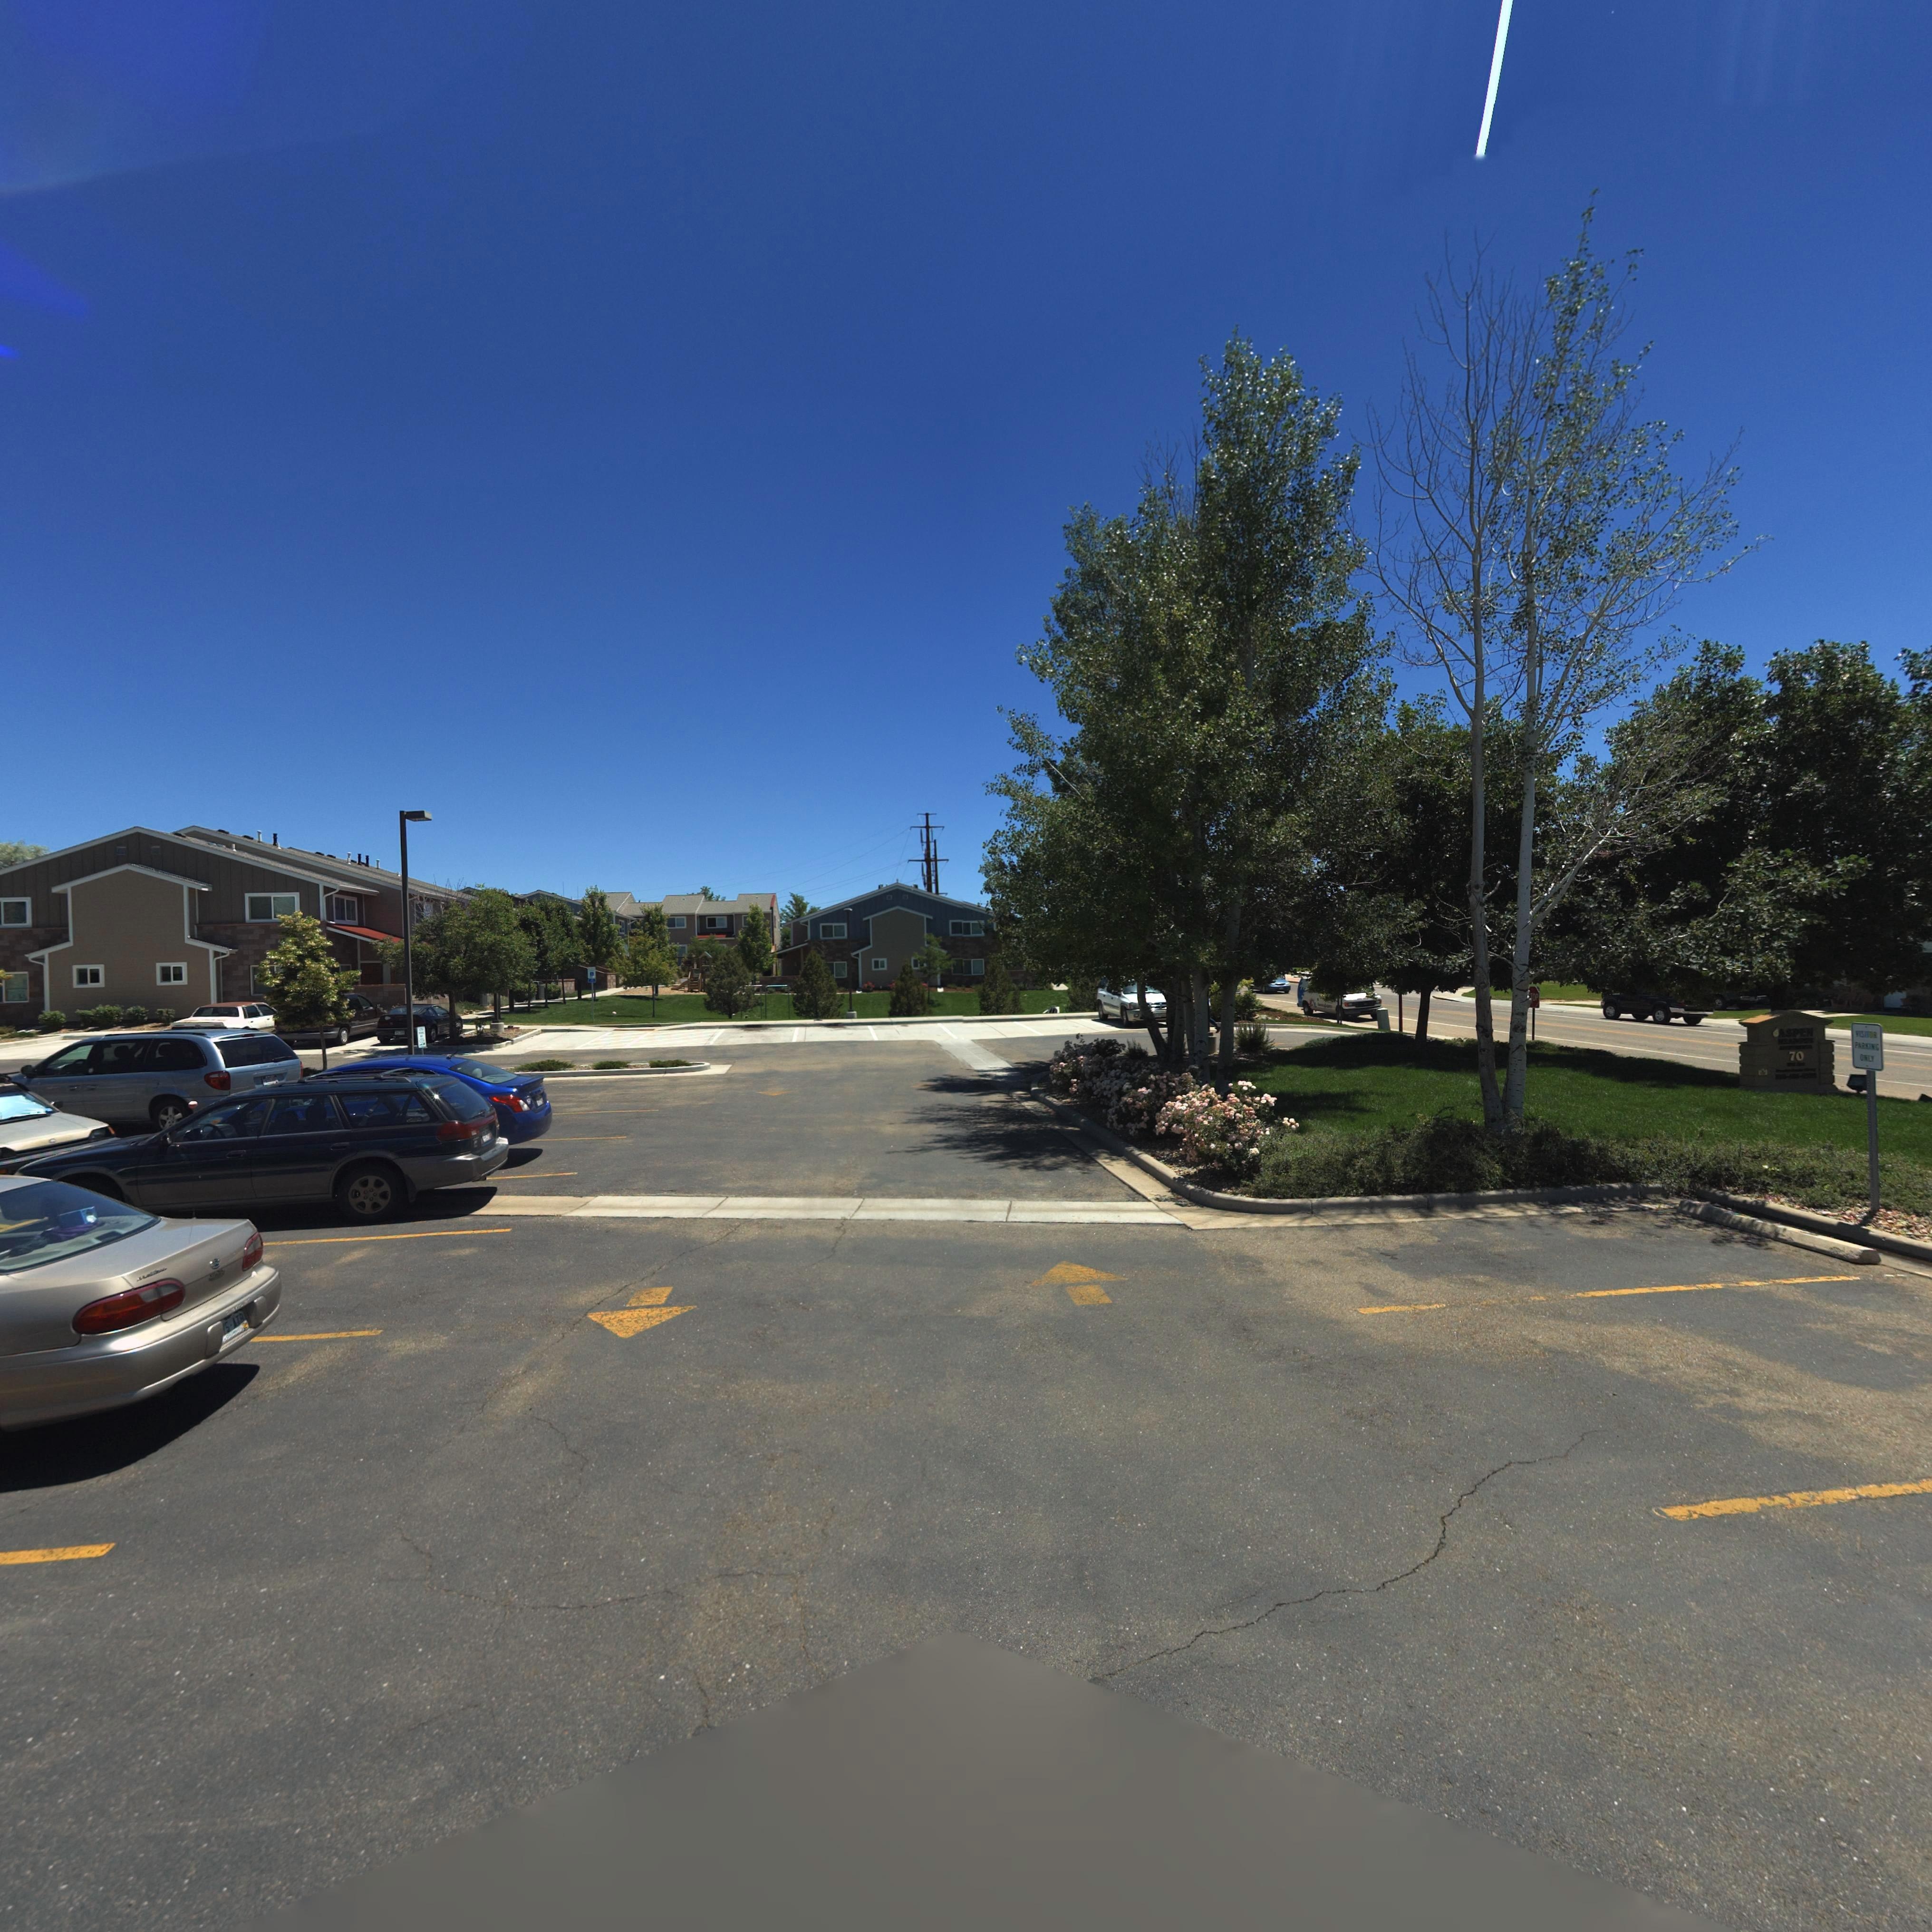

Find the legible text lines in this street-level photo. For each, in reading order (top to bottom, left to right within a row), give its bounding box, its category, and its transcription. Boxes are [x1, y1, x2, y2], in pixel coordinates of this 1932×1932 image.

[1777, 1027, 1814, 1038] BusinessName: ASPEN
[1777, 1036, 1815, 1045] BusinessName: M*****S
[1788, 1050, 1805, 1061] StreetNumber: 70